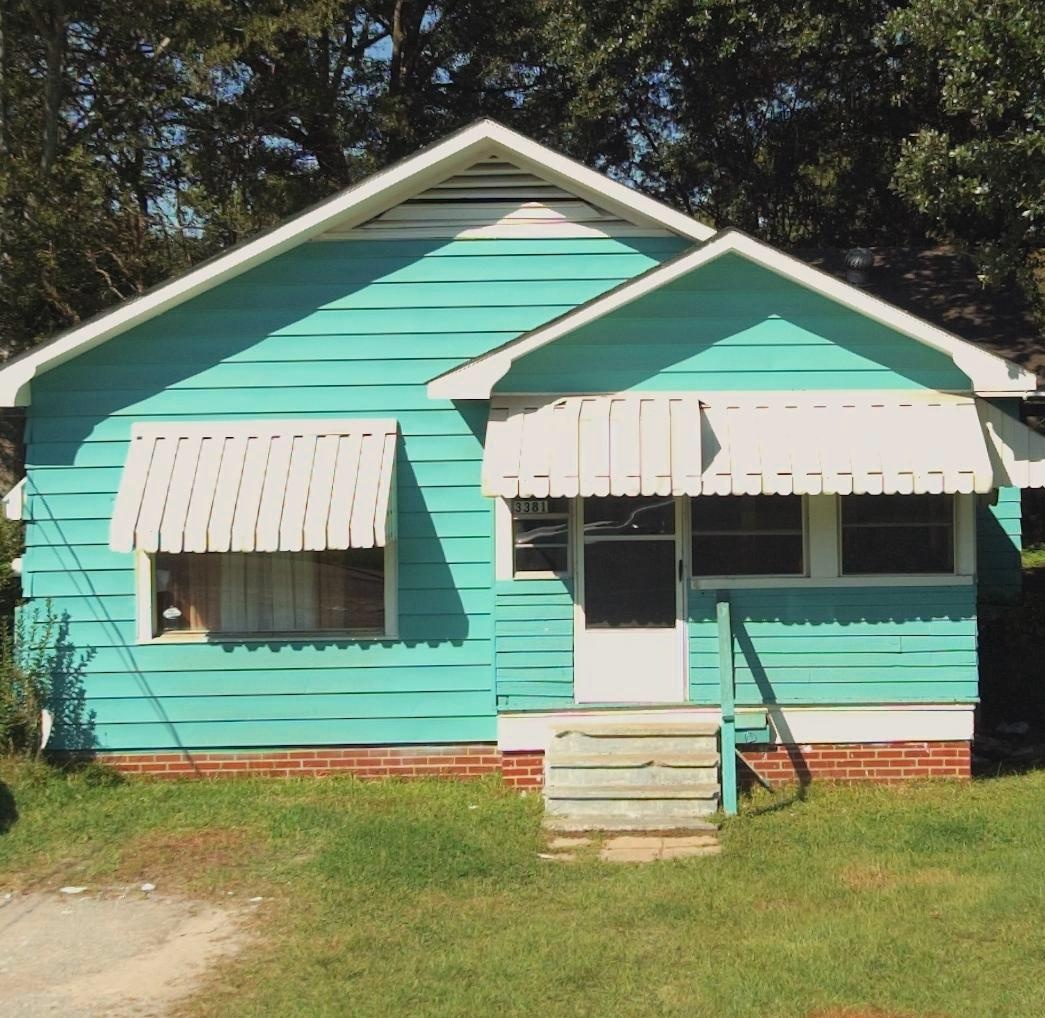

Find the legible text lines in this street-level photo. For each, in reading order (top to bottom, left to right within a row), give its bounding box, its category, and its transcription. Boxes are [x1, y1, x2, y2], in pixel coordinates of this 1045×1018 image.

[514, 500, 547, 513] StreetNumber: 3381